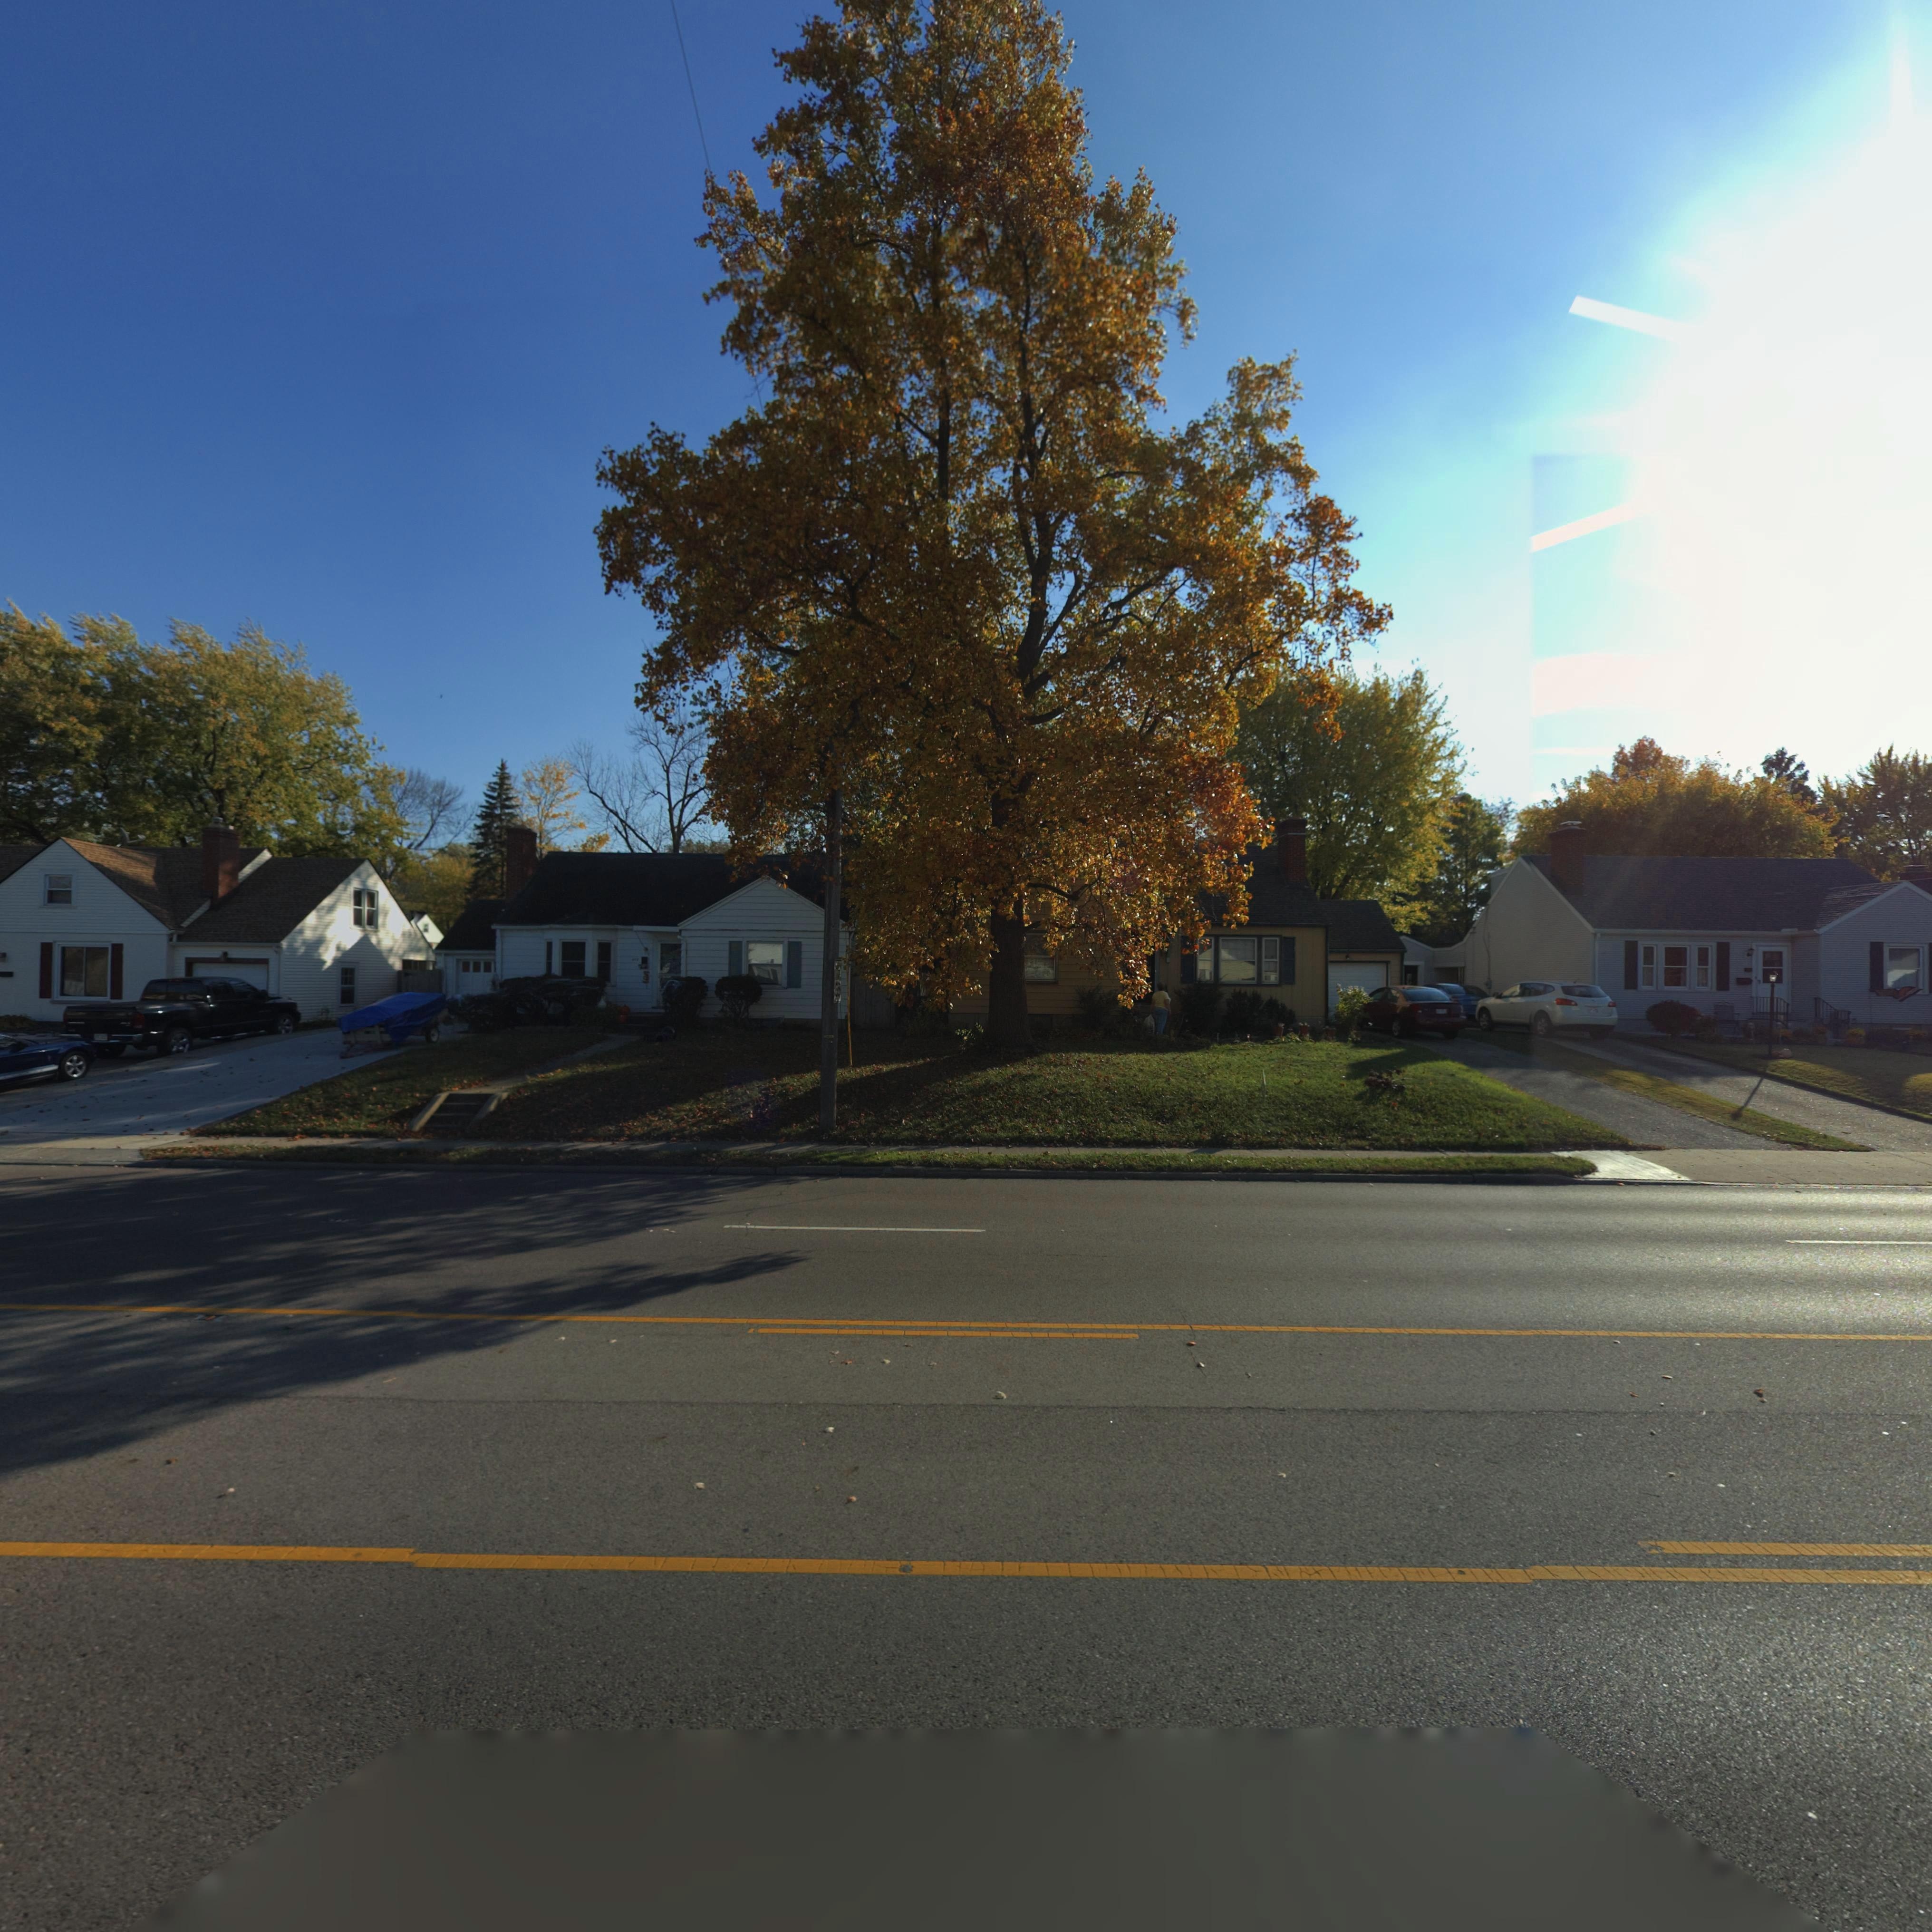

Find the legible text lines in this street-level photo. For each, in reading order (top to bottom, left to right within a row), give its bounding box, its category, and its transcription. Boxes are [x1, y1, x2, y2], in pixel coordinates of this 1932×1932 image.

[631, 957, 639, 961] StreetNumber: **2